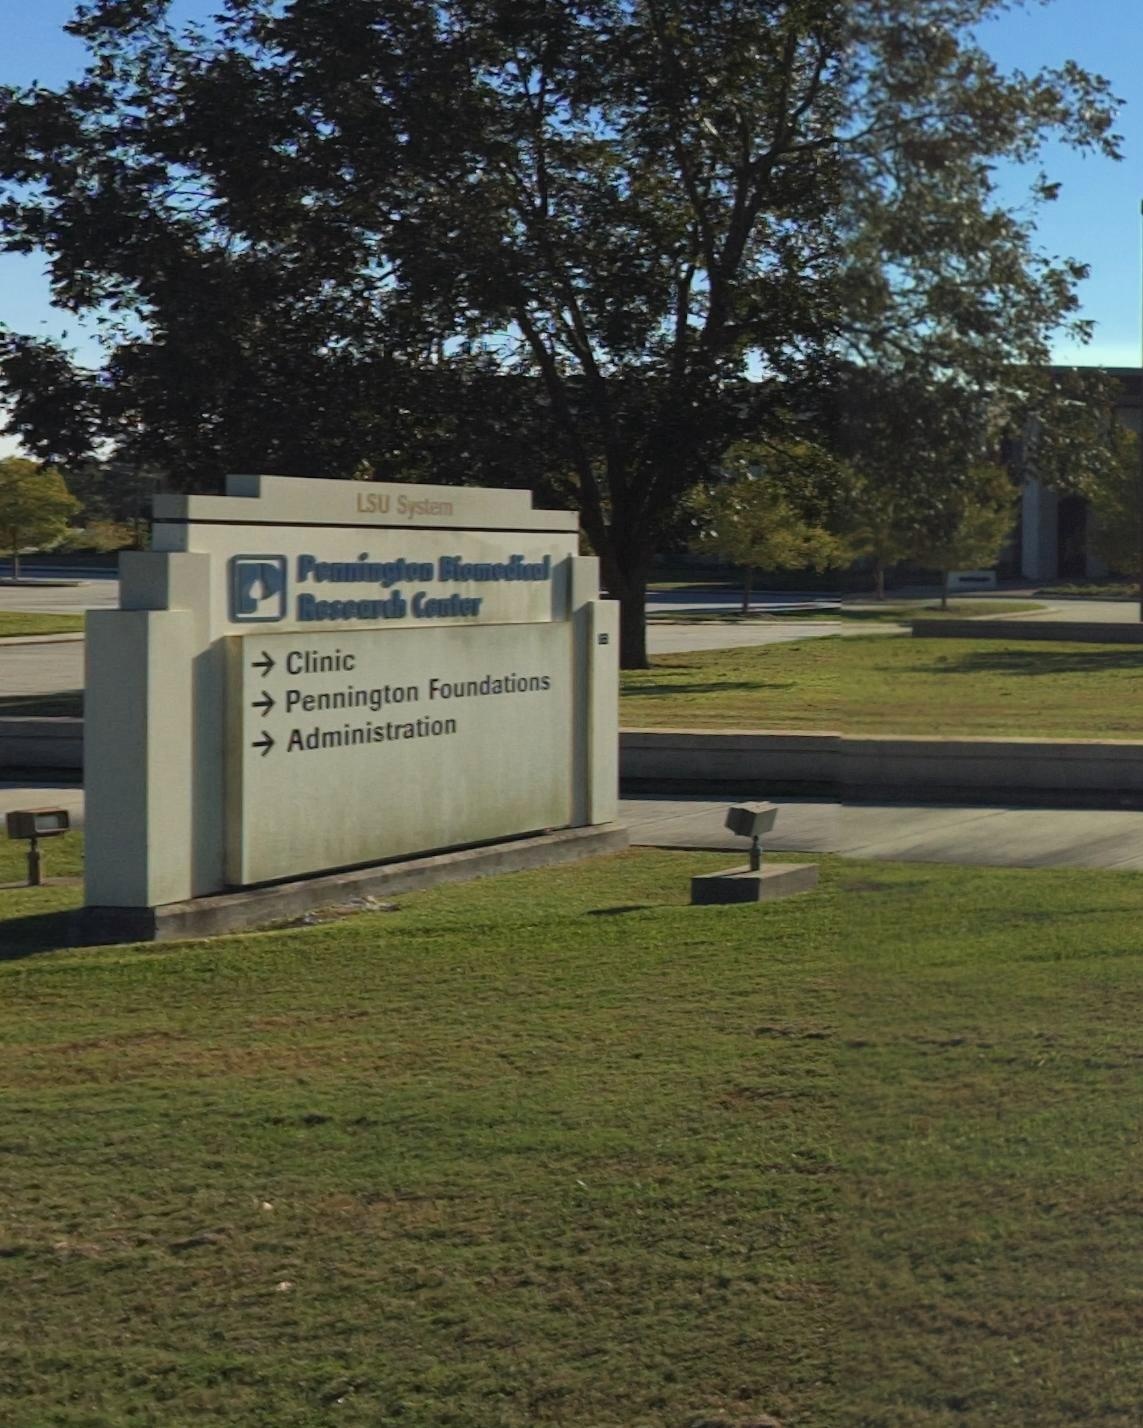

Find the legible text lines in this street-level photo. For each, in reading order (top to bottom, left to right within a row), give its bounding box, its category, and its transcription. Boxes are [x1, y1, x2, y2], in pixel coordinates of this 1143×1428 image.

[355, 490, 457, 521] None: LSU System
[295, 551, 552, 589] BusinessName: Pennington BiomedicaL
[295, 588, 485, 624] BusinessName: Research Center
[285, 647, 357, 676] None: Clinic
[284, 671, 553, 714] None: Pennington Foundations
[285, 712, 457, 754] None: Administration